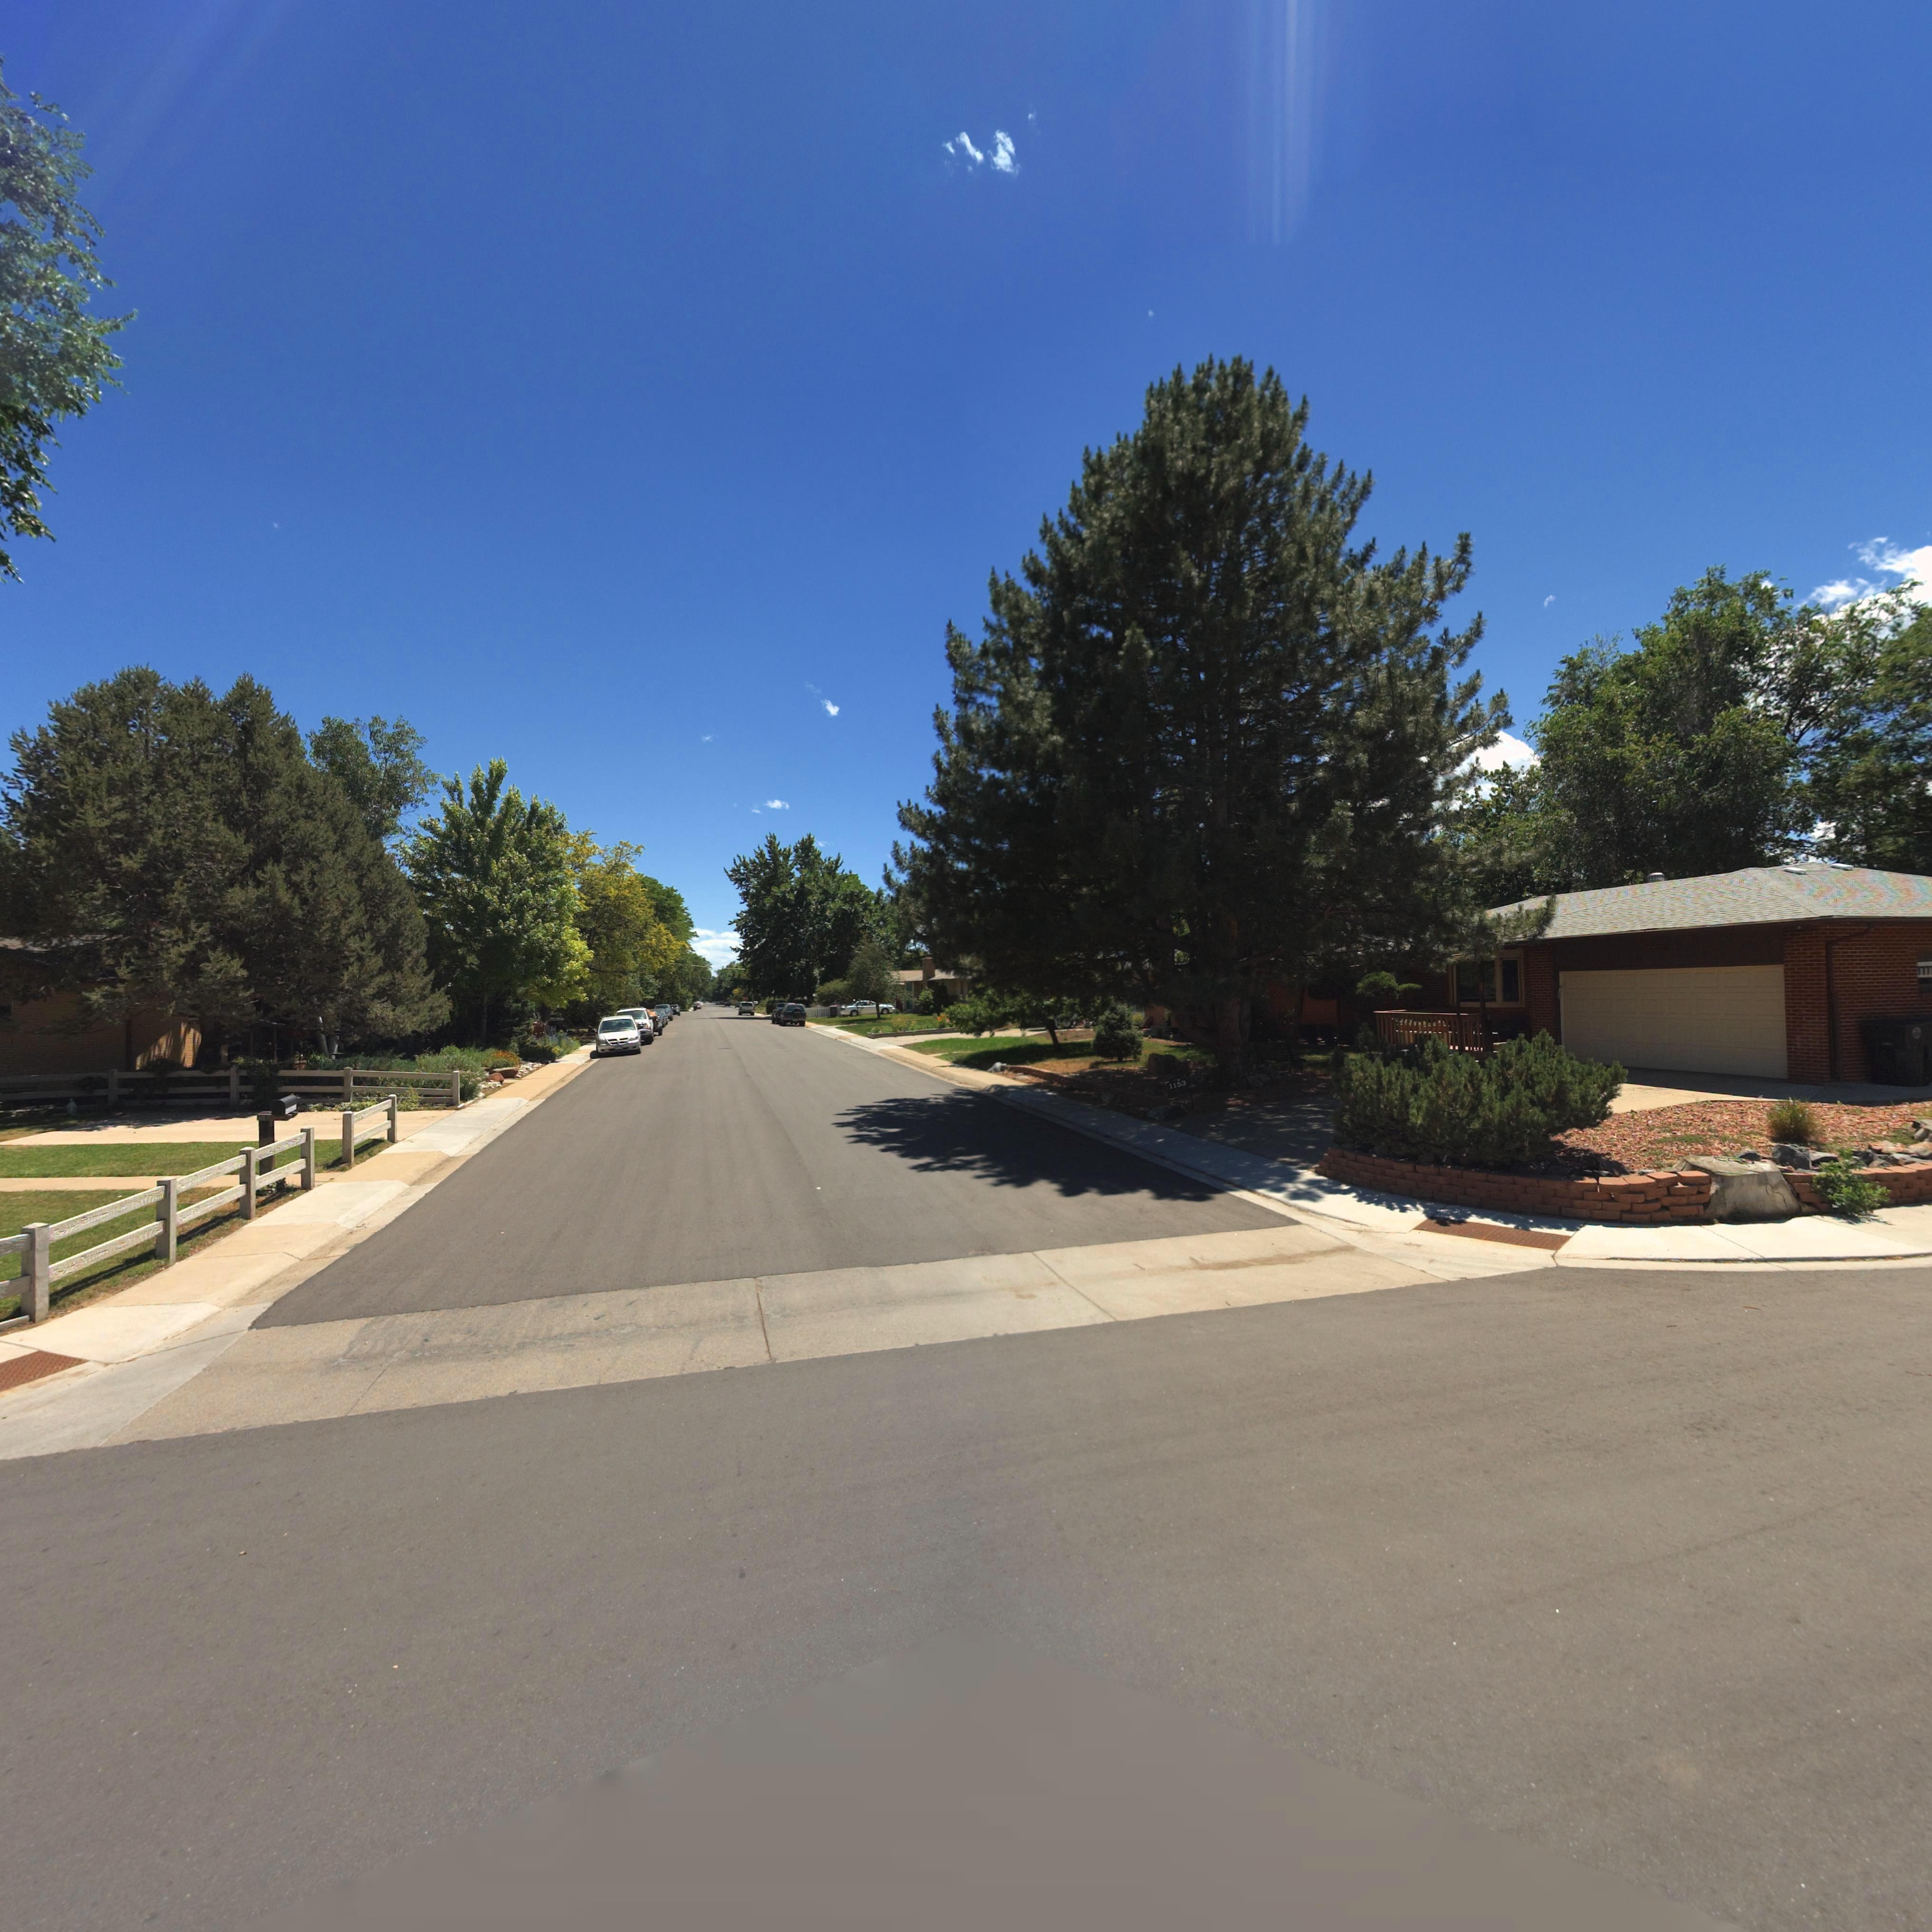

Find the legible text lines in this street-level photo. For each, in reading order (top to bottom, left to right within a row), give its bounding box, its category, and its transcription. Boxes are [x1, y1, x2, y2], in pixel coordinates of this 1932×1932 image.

[1169, 1080, 1187, 1090] StreetNumber: 1153